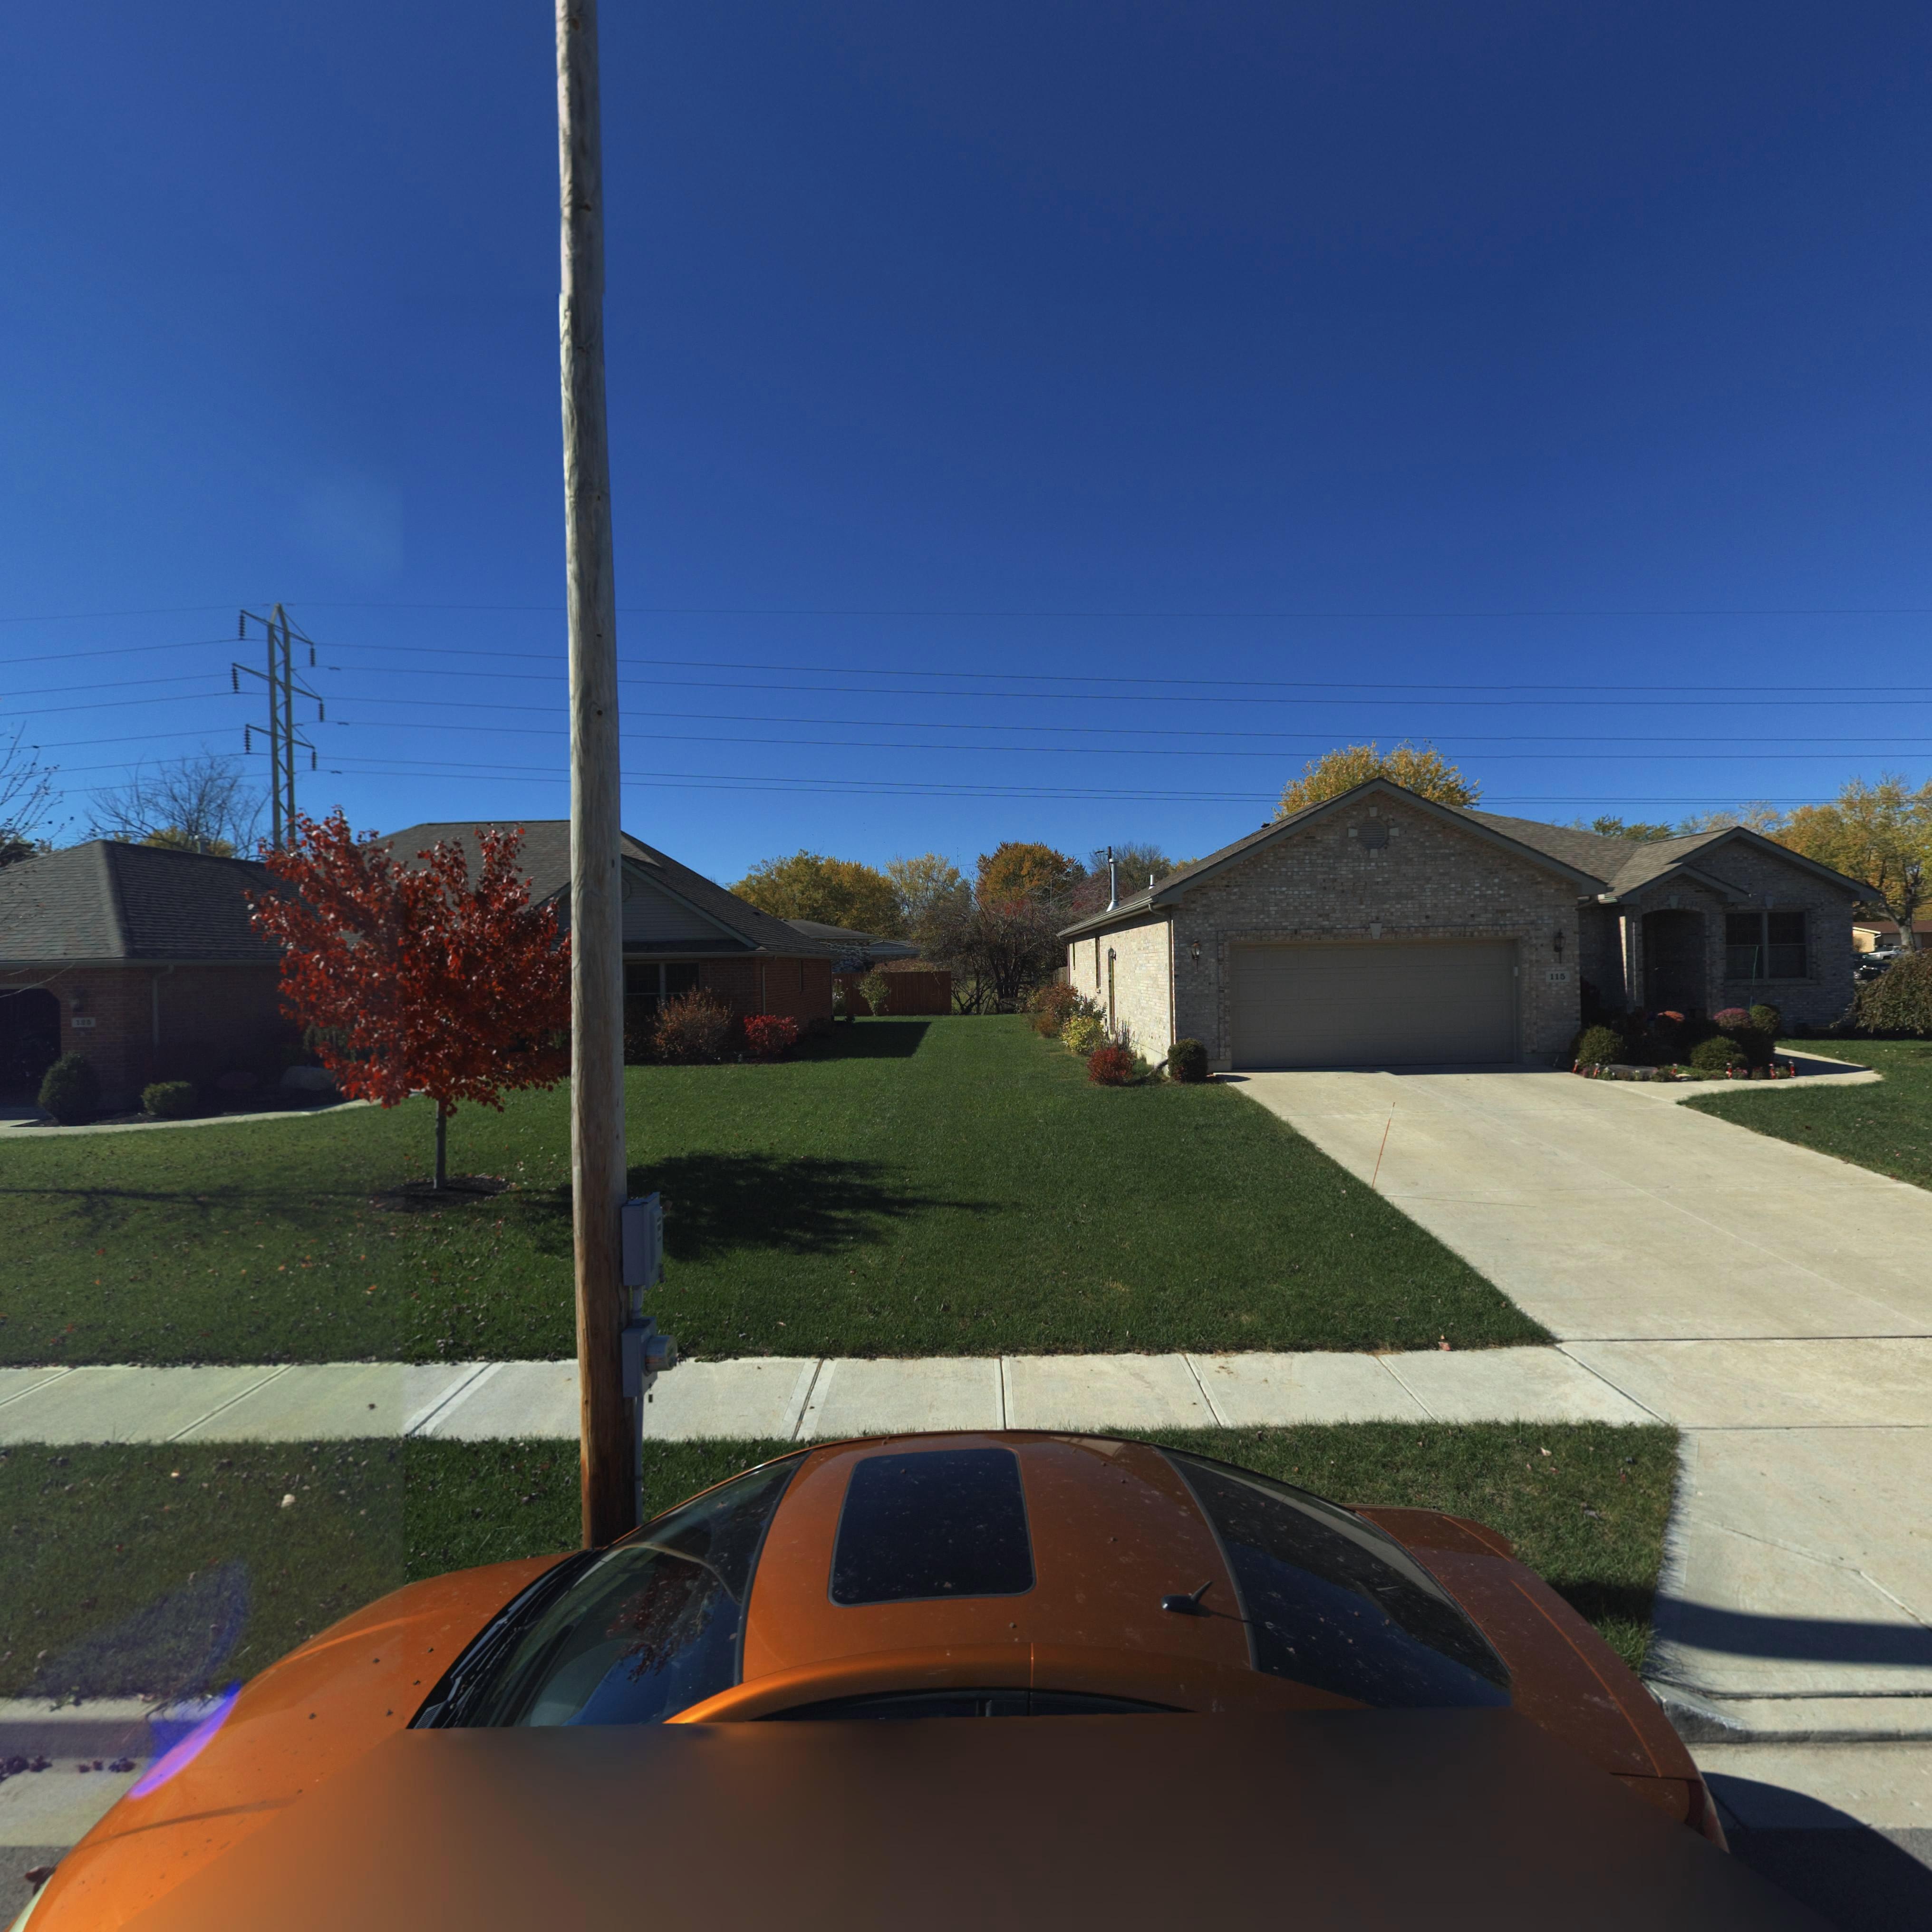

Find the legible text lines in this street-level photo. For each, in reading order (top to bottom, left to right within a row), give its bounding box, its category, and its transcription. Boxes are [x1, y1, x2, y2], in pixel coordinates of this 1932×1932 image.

[1549, 973, 1566, 981] StreetNumber: 115
[75, 1018, 93, 1027] StreetNumber: 1**